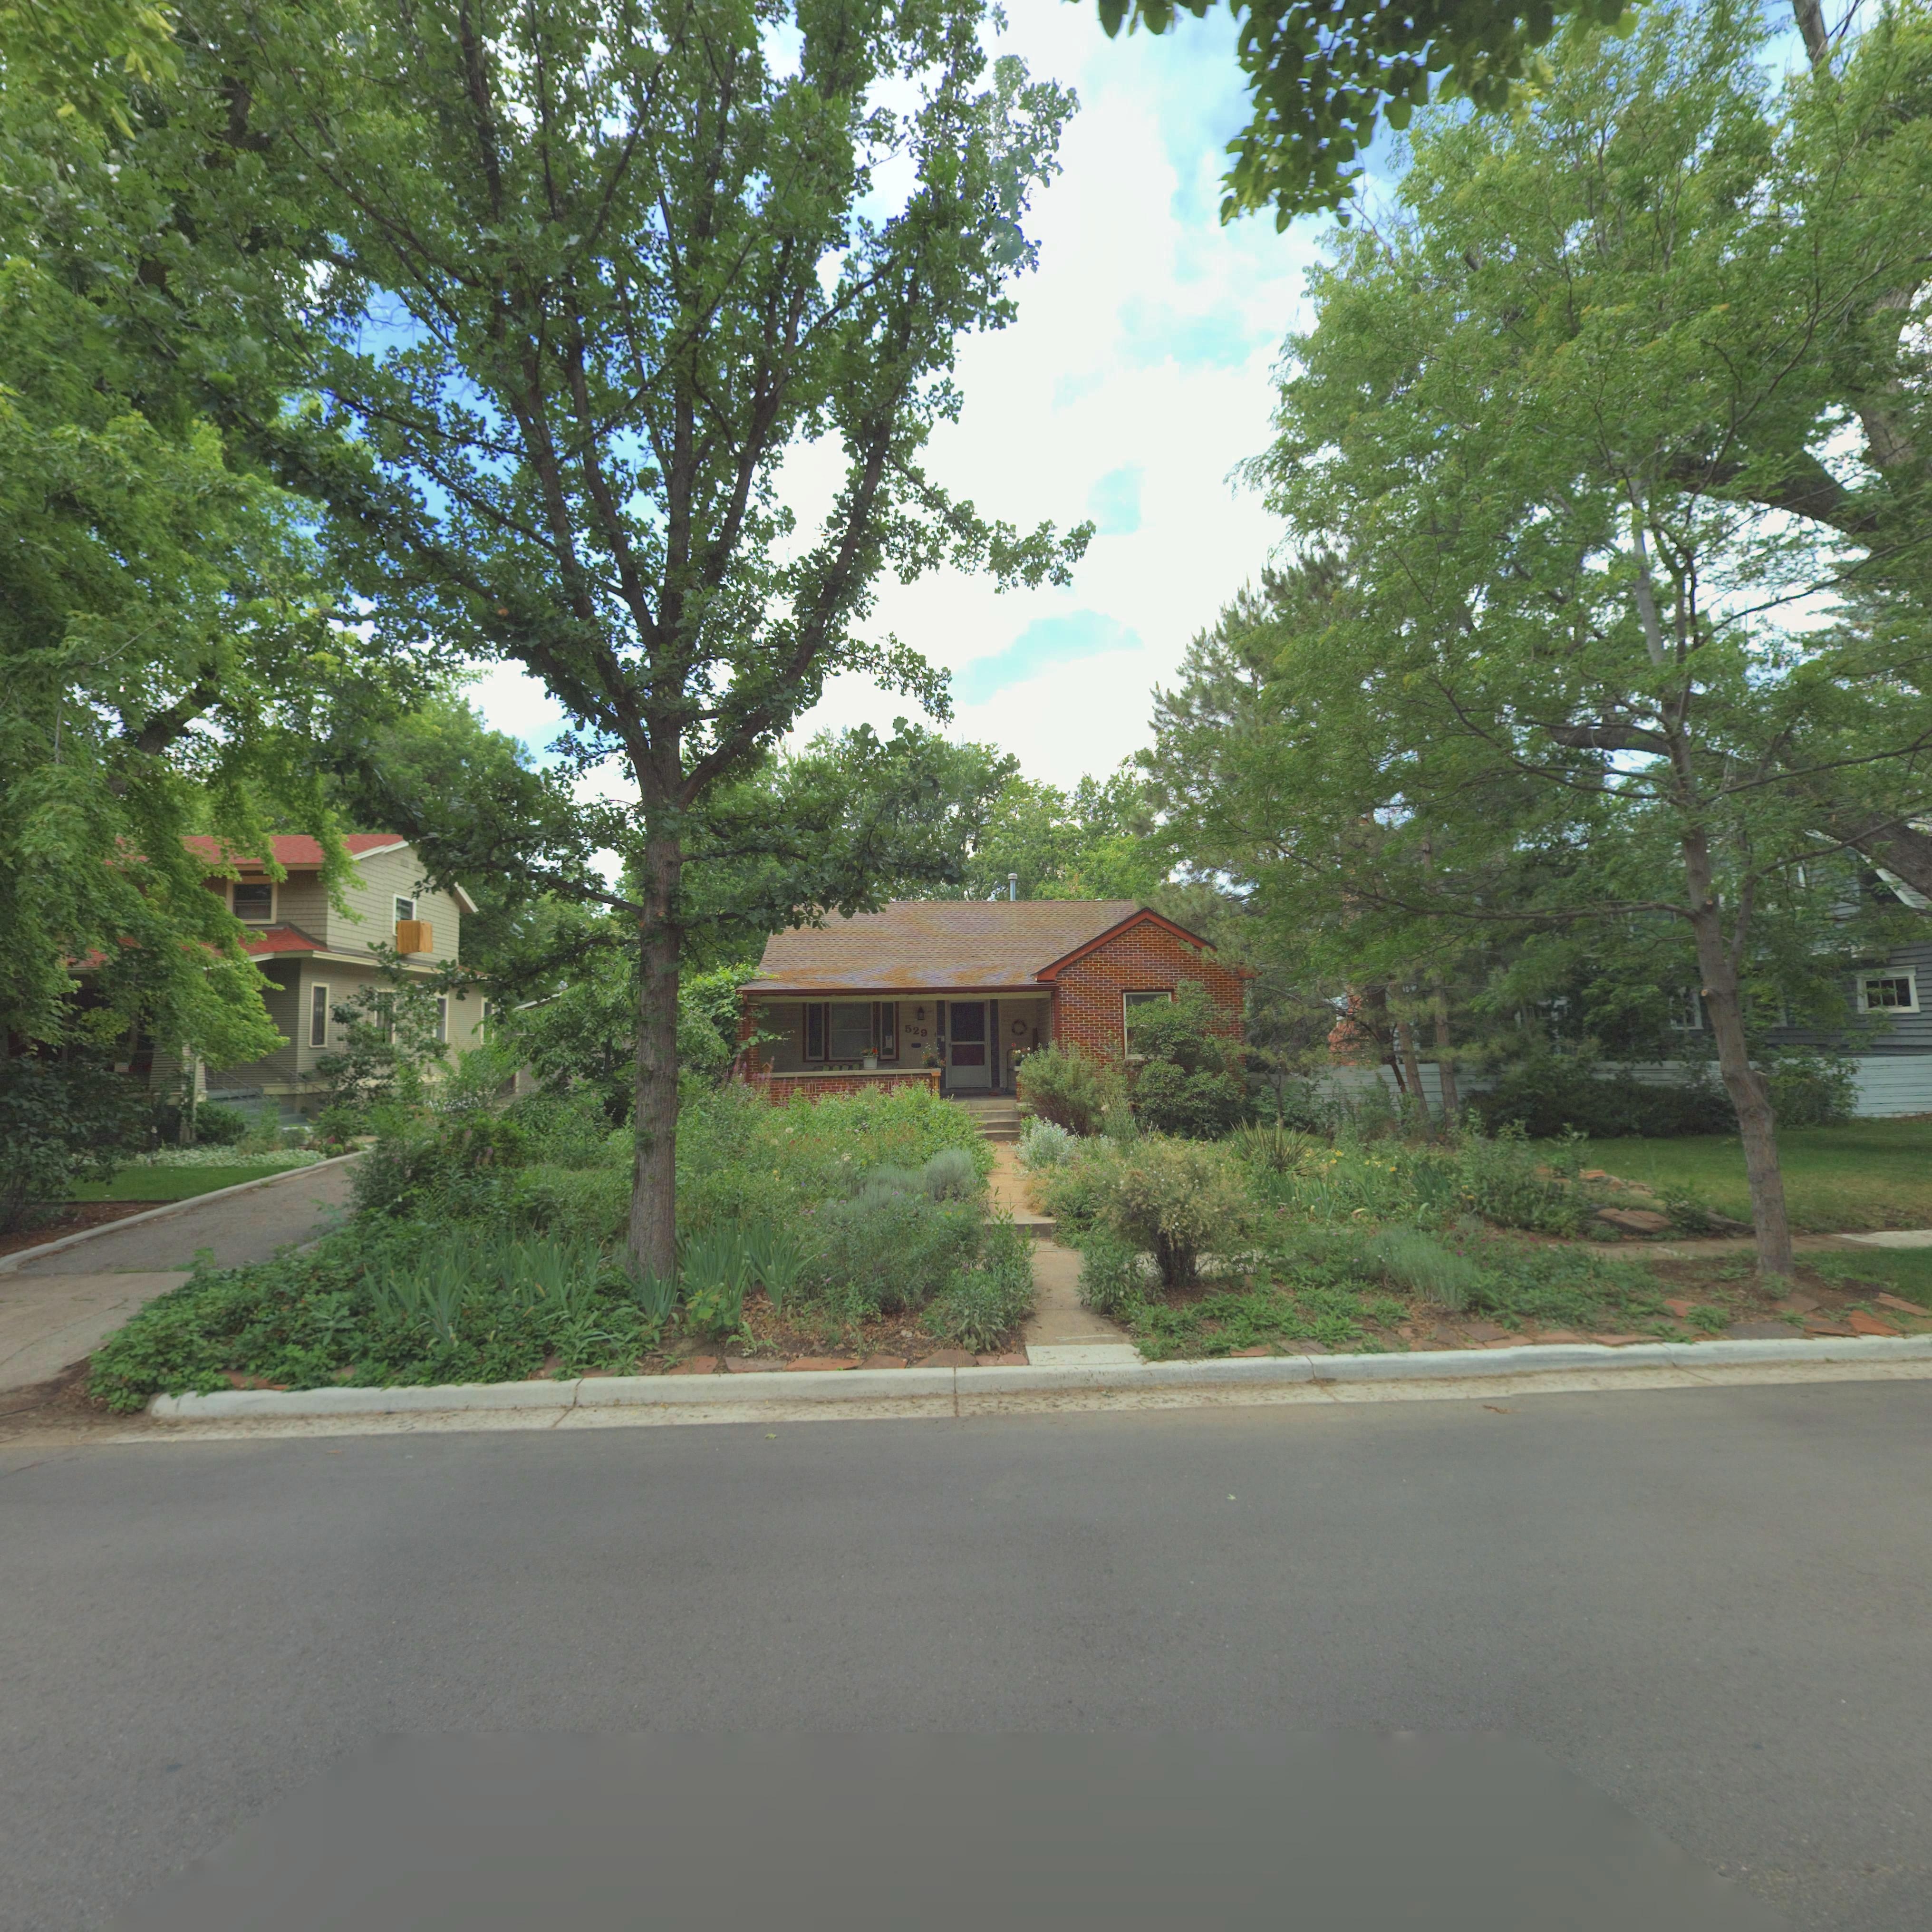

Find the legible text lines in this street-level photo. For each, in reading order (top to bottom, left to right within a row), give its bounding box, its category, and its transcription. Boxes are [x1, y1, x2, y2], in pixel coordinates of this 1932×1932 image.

[904, 1024, 928, 1037] StreetNumber: 529